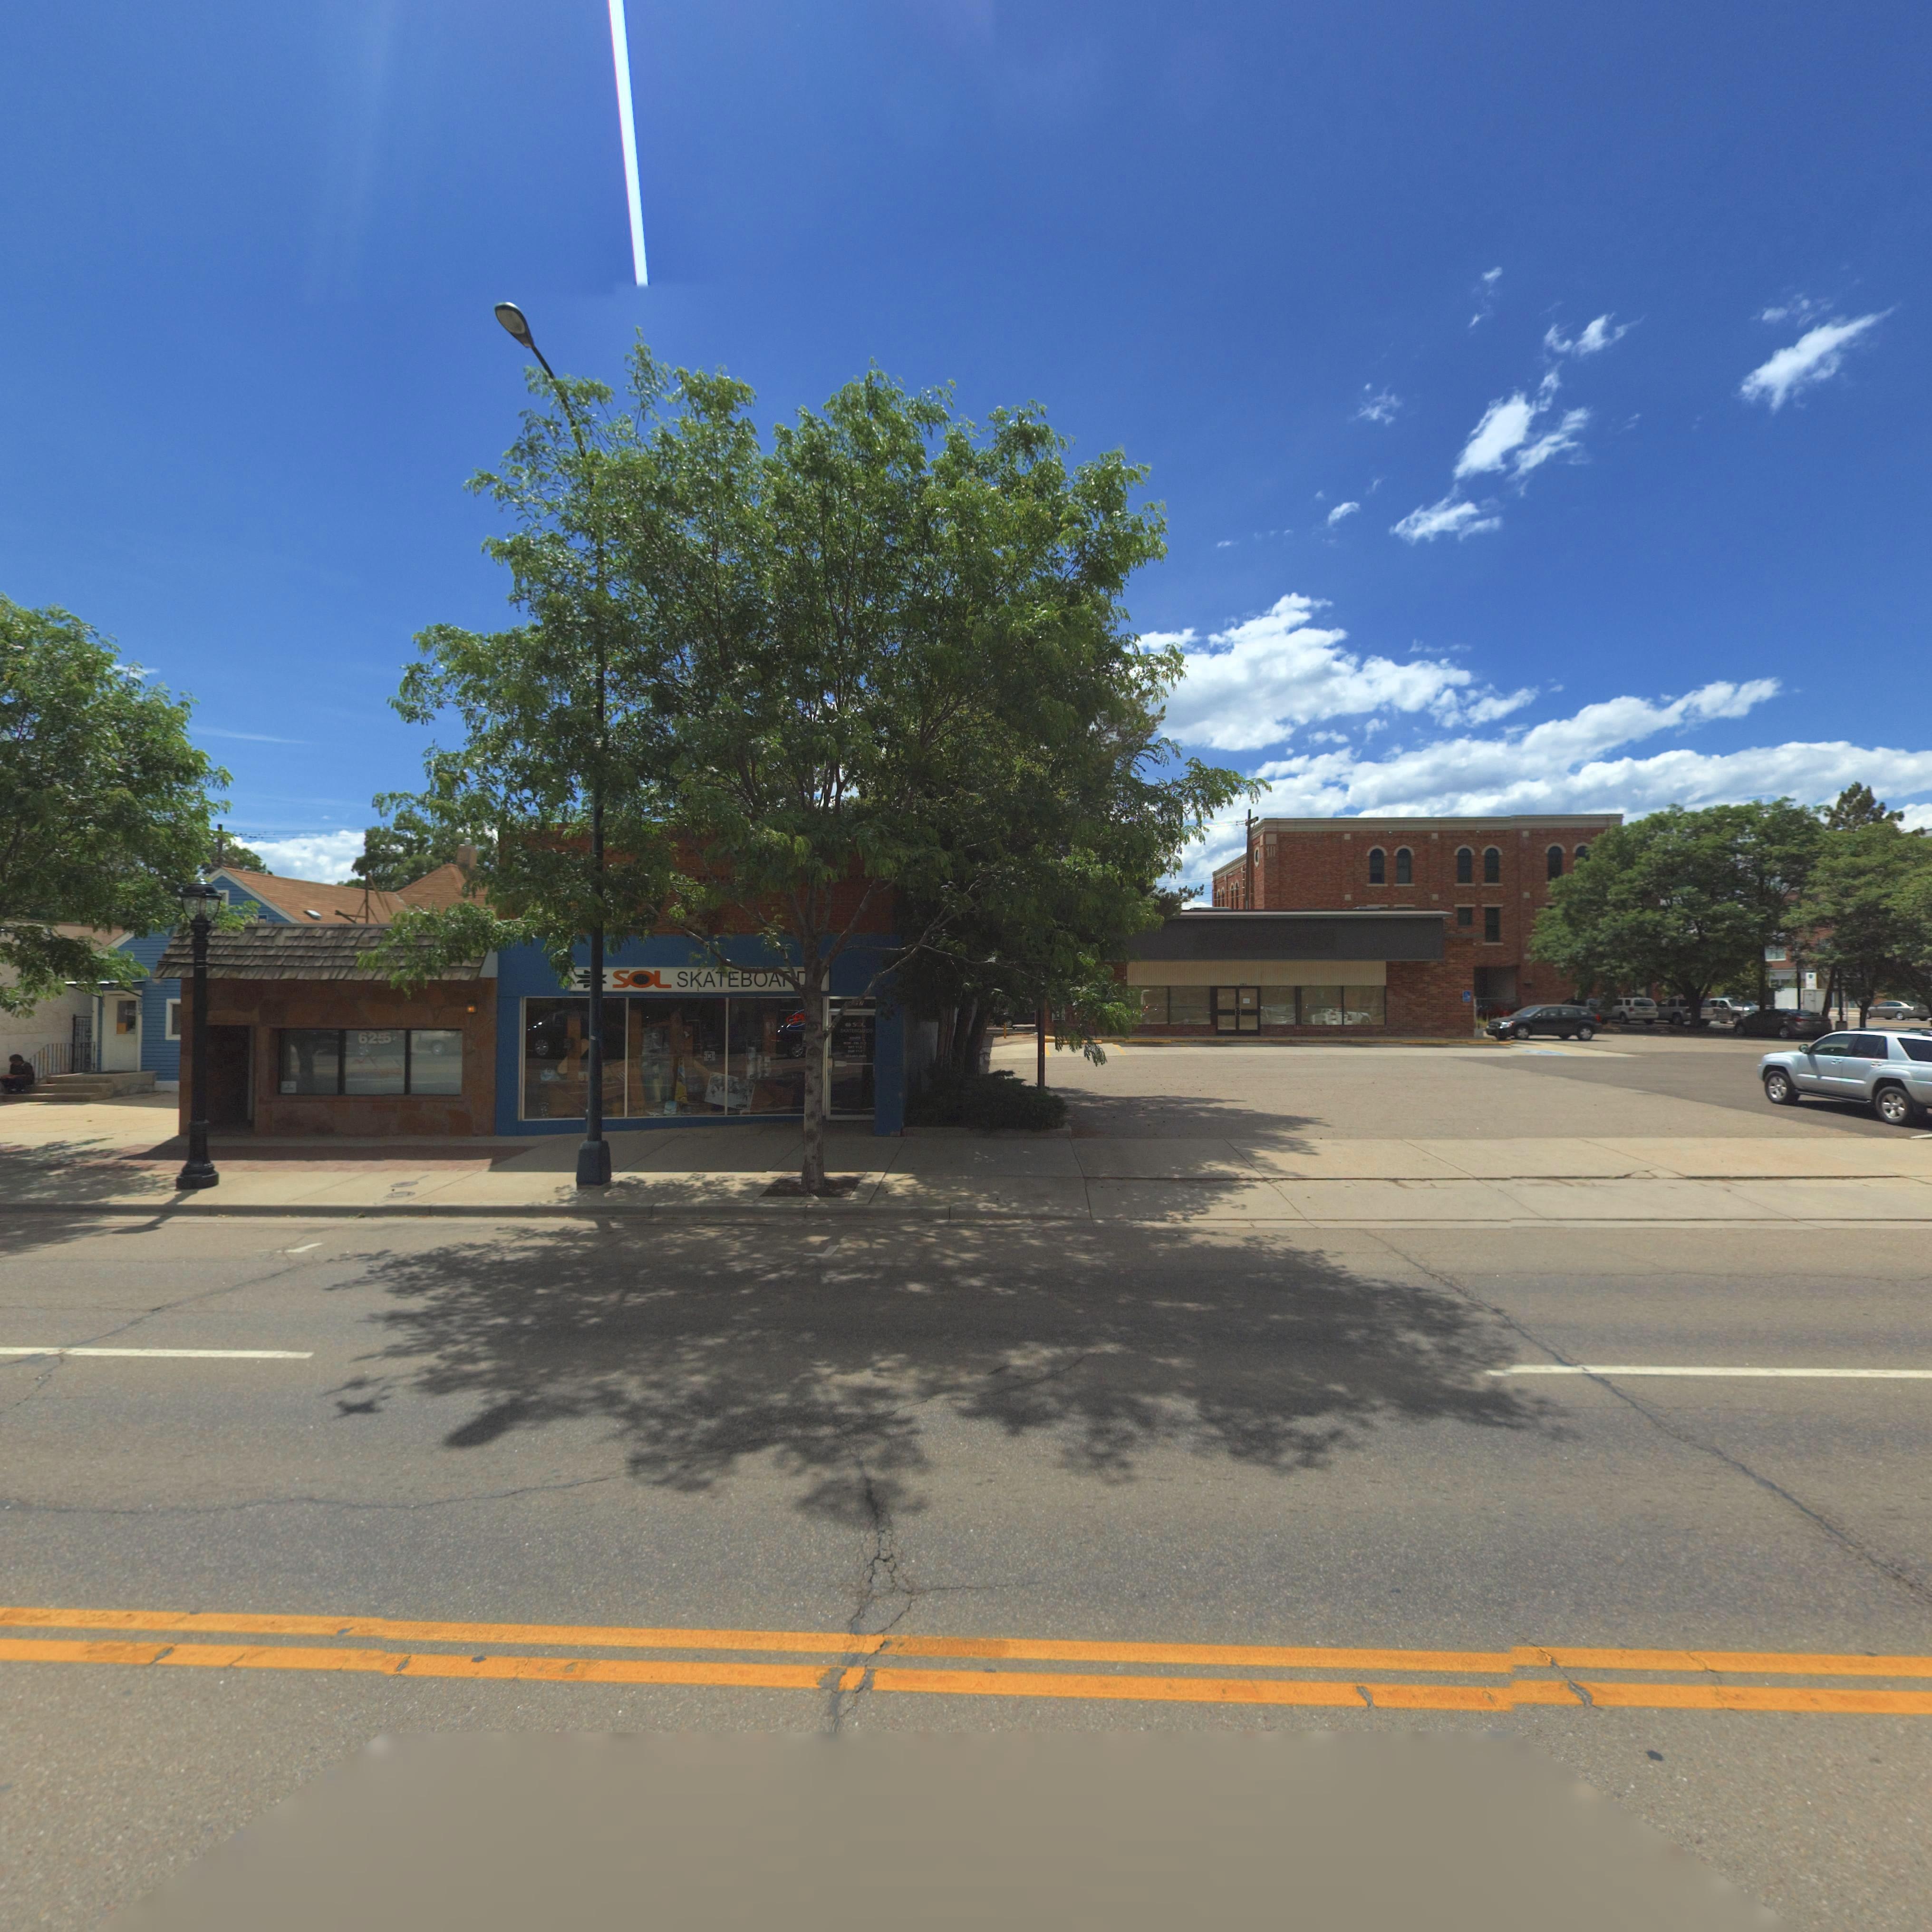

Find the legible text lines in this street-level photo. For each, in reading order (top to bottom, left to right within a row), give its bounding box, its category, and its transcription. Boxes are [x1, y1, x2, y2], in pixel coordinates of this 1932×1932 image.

[612, 969, 672, 988] BusinessName: SOL
[676, 970, 806, 987] BusinessName: SKATEBOA**
[137, 998, 143, 1014] StreetNumber: **3
[859, 1001, 864, 1005] StreetNumber: 7
[840, 1028, 873, 1033] BusinessName: SKATEBOARDS
[852, 1022, 866, 1027] BusinessName: S*L
[358, 1032, 392, 1044] StreetNumber: 62*5